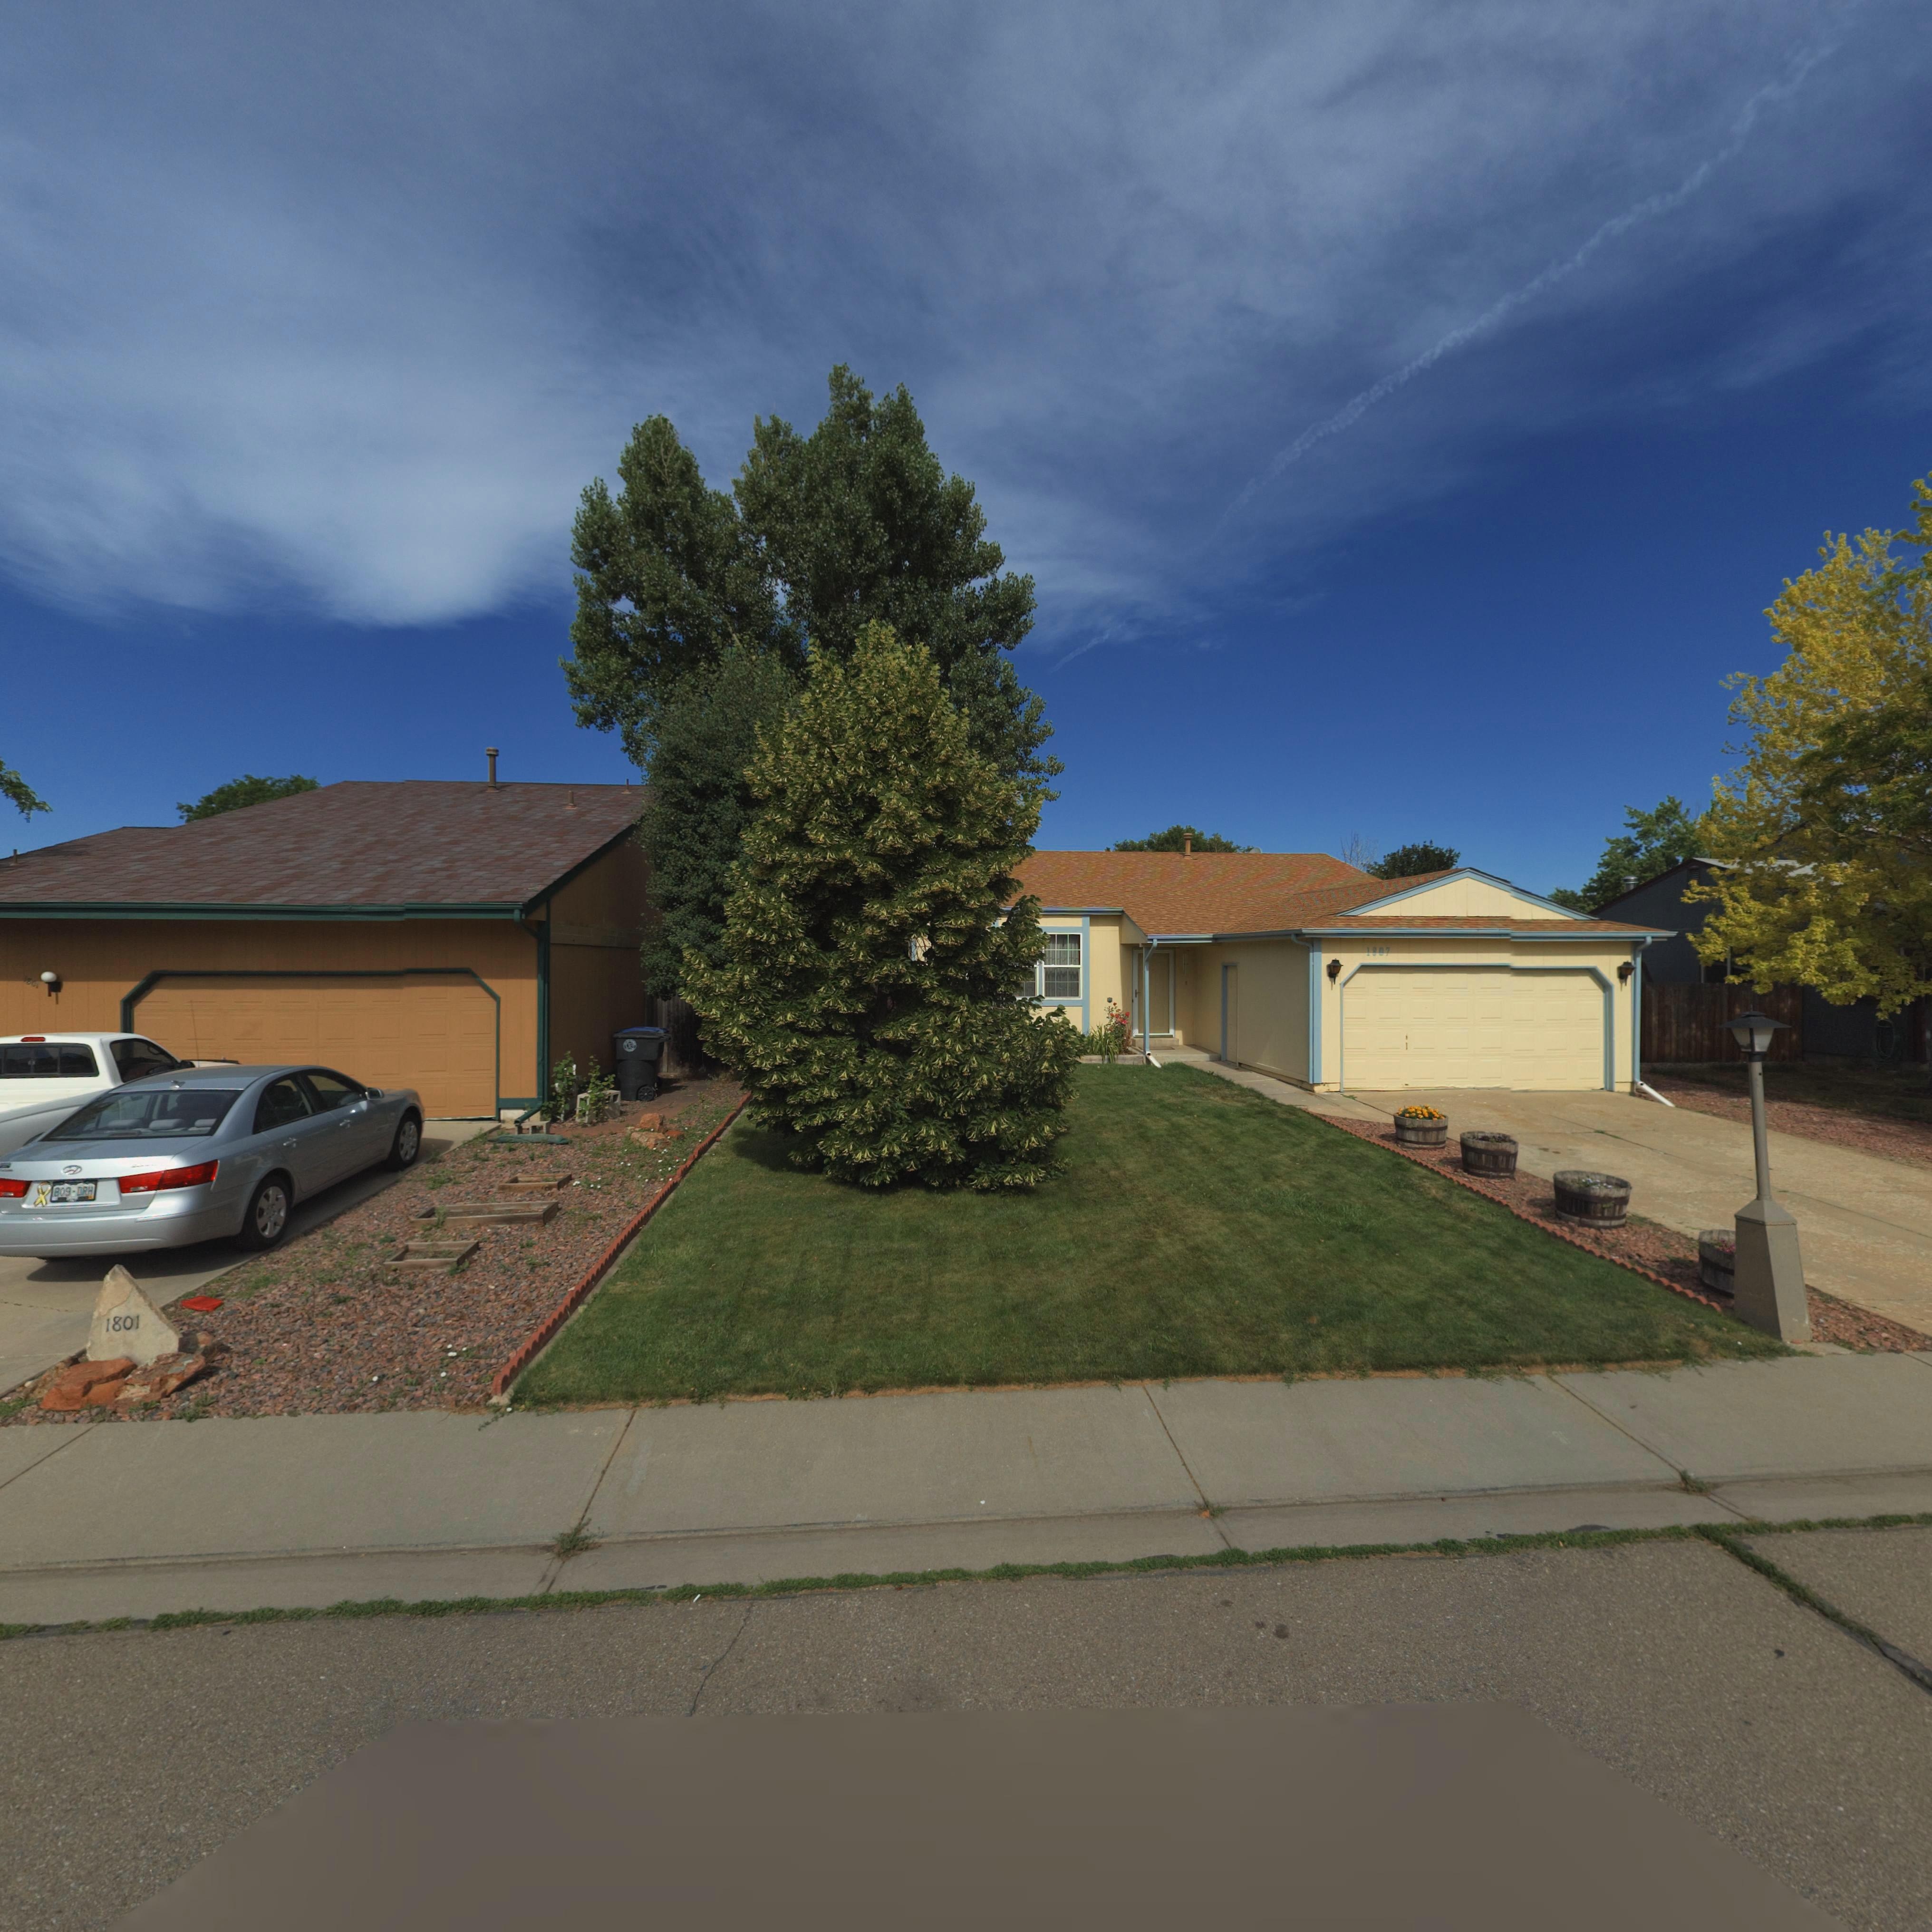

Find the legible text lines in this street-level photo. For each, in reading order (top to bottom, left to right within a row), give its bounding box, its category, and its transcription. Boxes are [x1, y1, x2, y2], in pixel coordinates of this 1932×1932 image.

[1365, 946, 1391, 957] StreetNumber: 1807
[22, 974, 39, 990] StreetNumber: 18**
[105, 1314, 140, 1333] StreetNumber: 1801